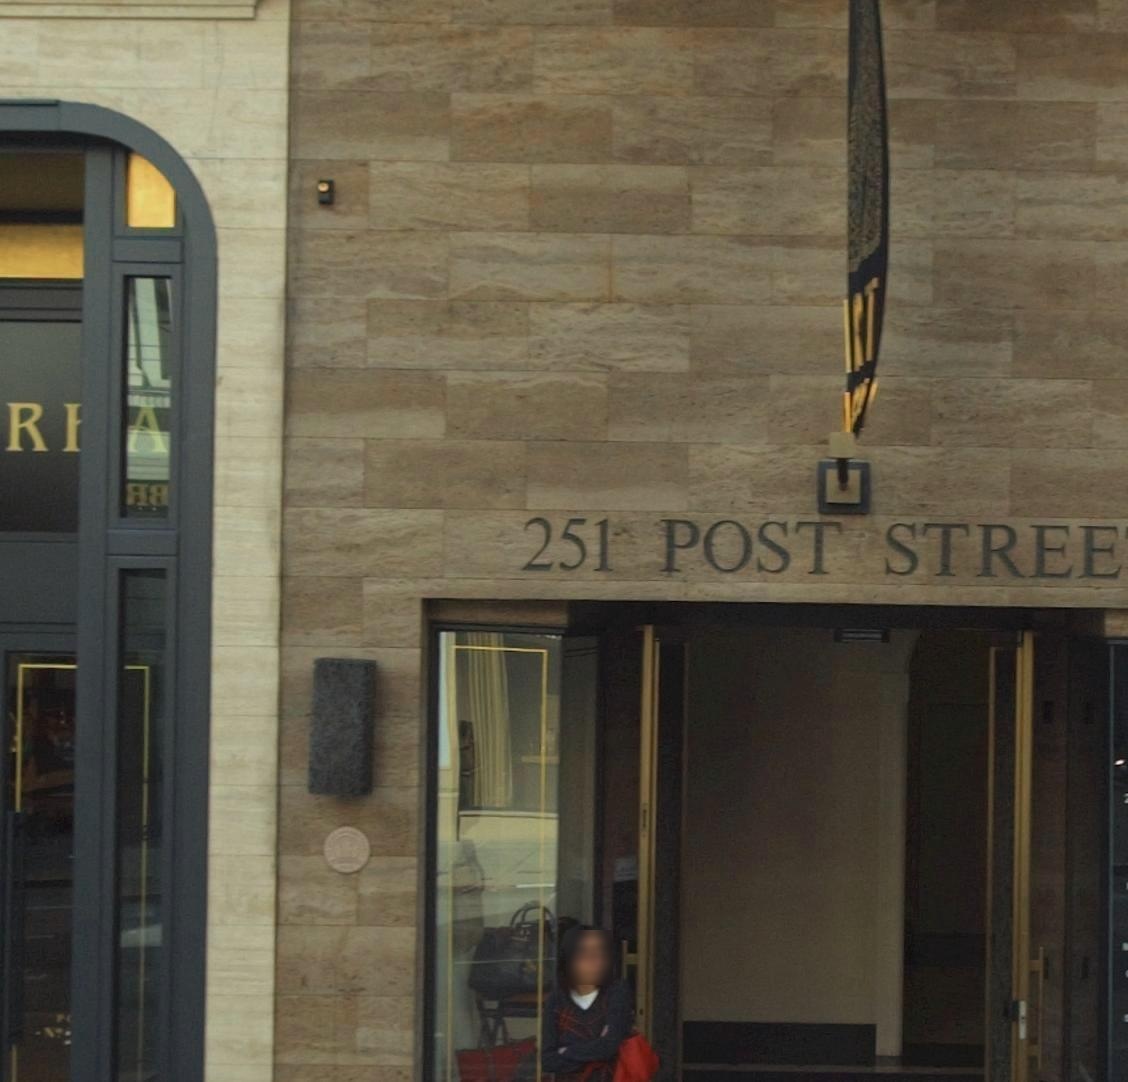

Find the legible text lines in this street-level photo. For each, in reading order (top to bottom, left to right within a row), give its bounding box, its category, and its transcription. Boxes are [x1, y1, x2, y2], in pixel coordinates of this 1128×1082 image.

[854, 267, 885, 372] None: T
[0, 396, 60, 460] BusinessName: R
[515, 511, 617, 577] StreetNumber: 251
[651, 511, 1126, 584] StreetName: POST STREE